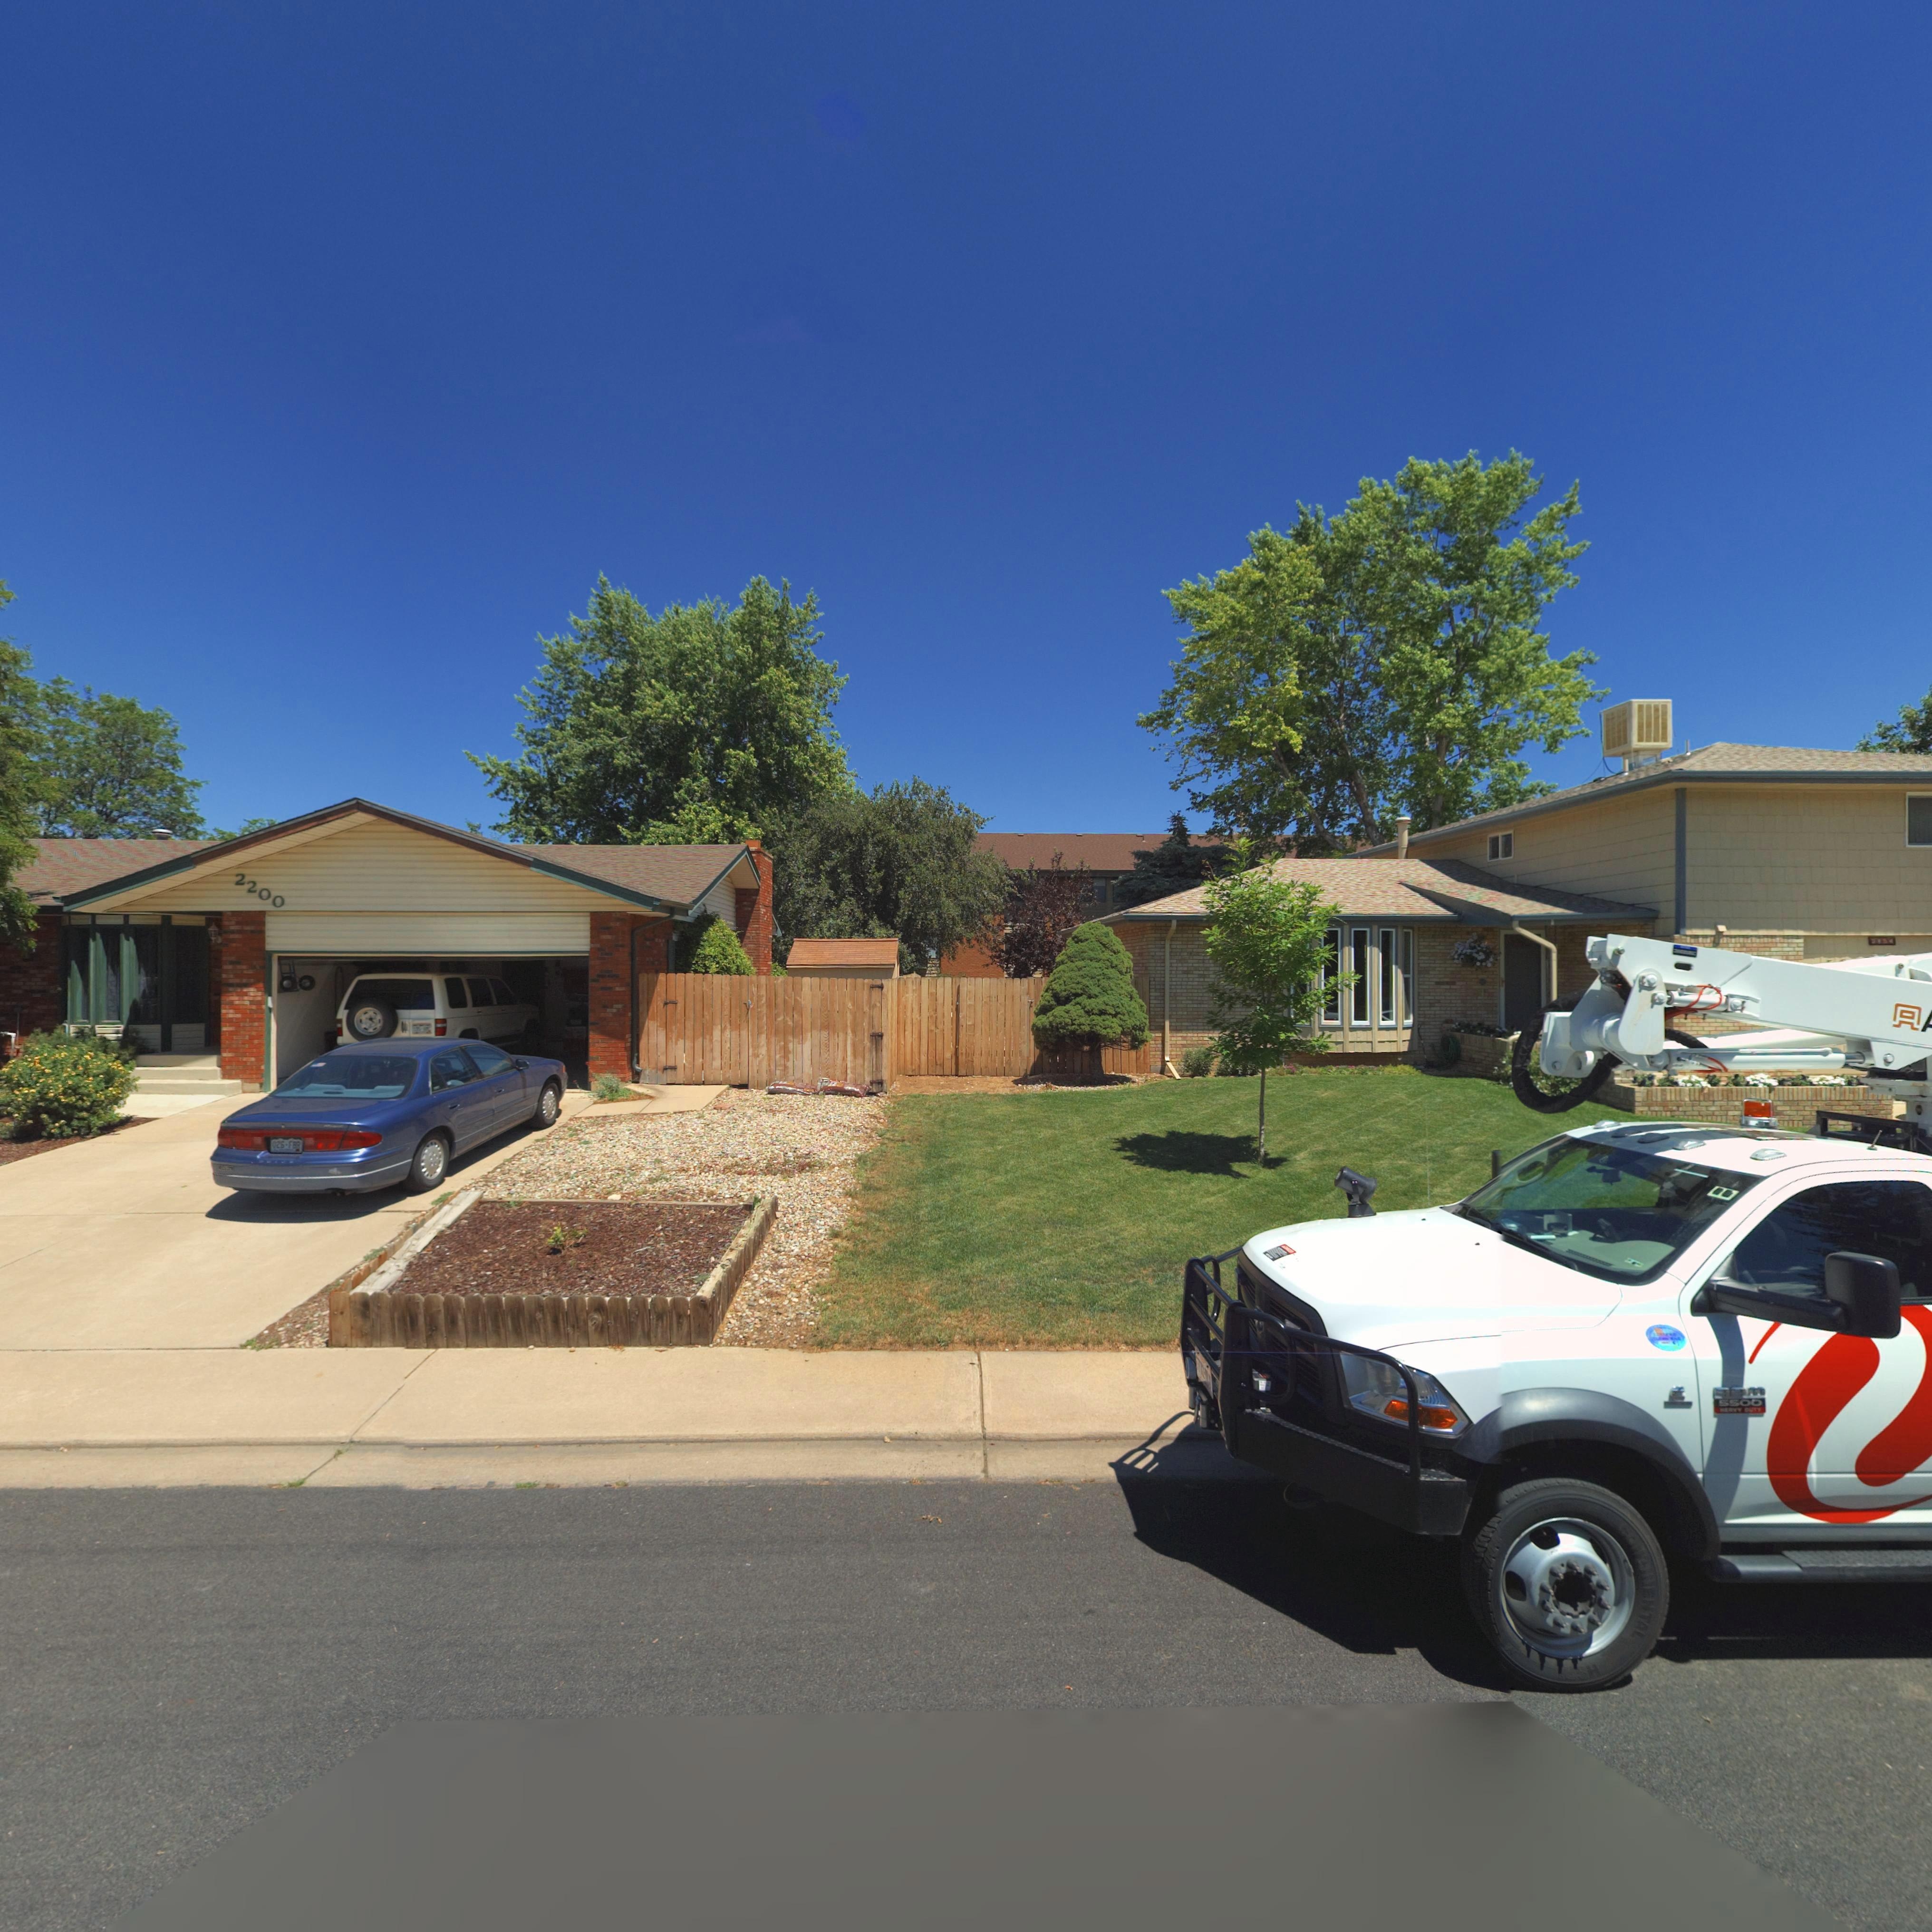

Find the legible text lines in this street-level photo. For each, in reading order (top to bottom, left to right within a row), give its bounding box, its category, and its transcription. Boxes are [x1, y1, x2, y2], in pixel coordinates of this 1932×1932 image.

[234, 871, 288, 910] StreetNumber: 2200